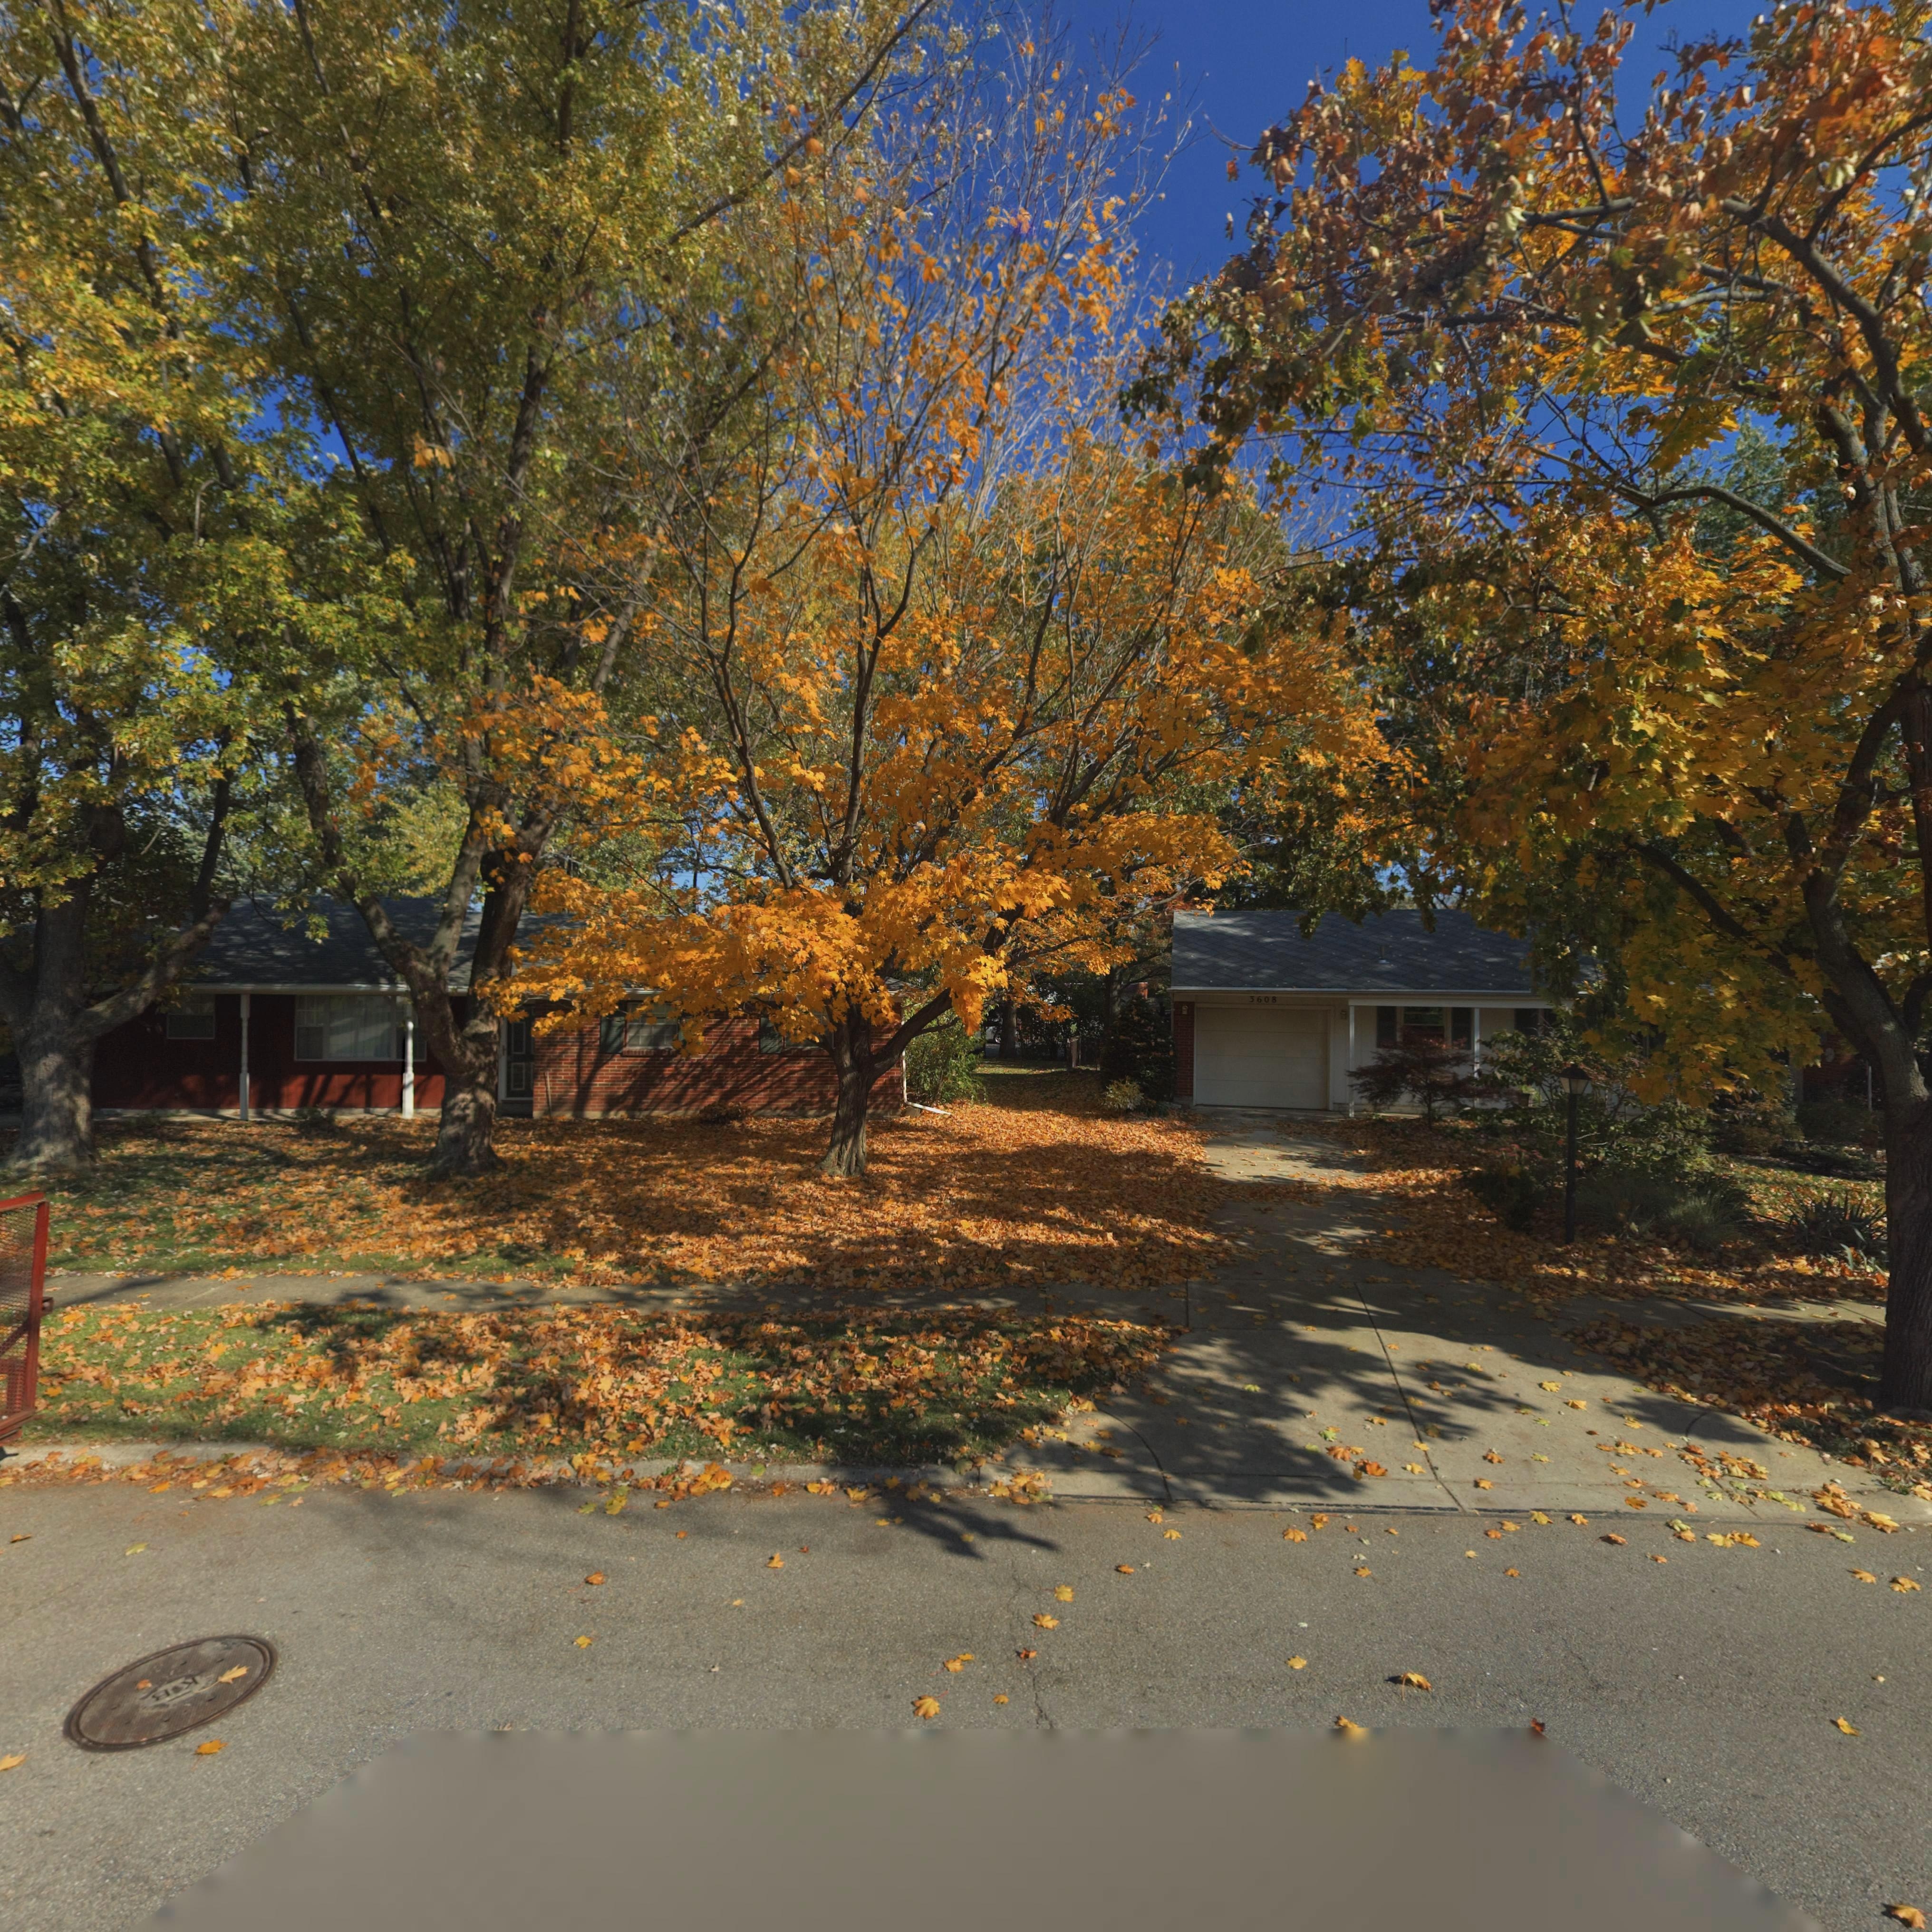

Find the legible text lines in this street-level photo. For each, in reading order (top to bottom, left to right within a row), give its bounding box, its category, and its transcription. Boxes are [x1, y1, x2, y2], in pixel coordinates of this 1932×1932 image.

[1248, 995, 1277, 1004] StreetNumber: 3608